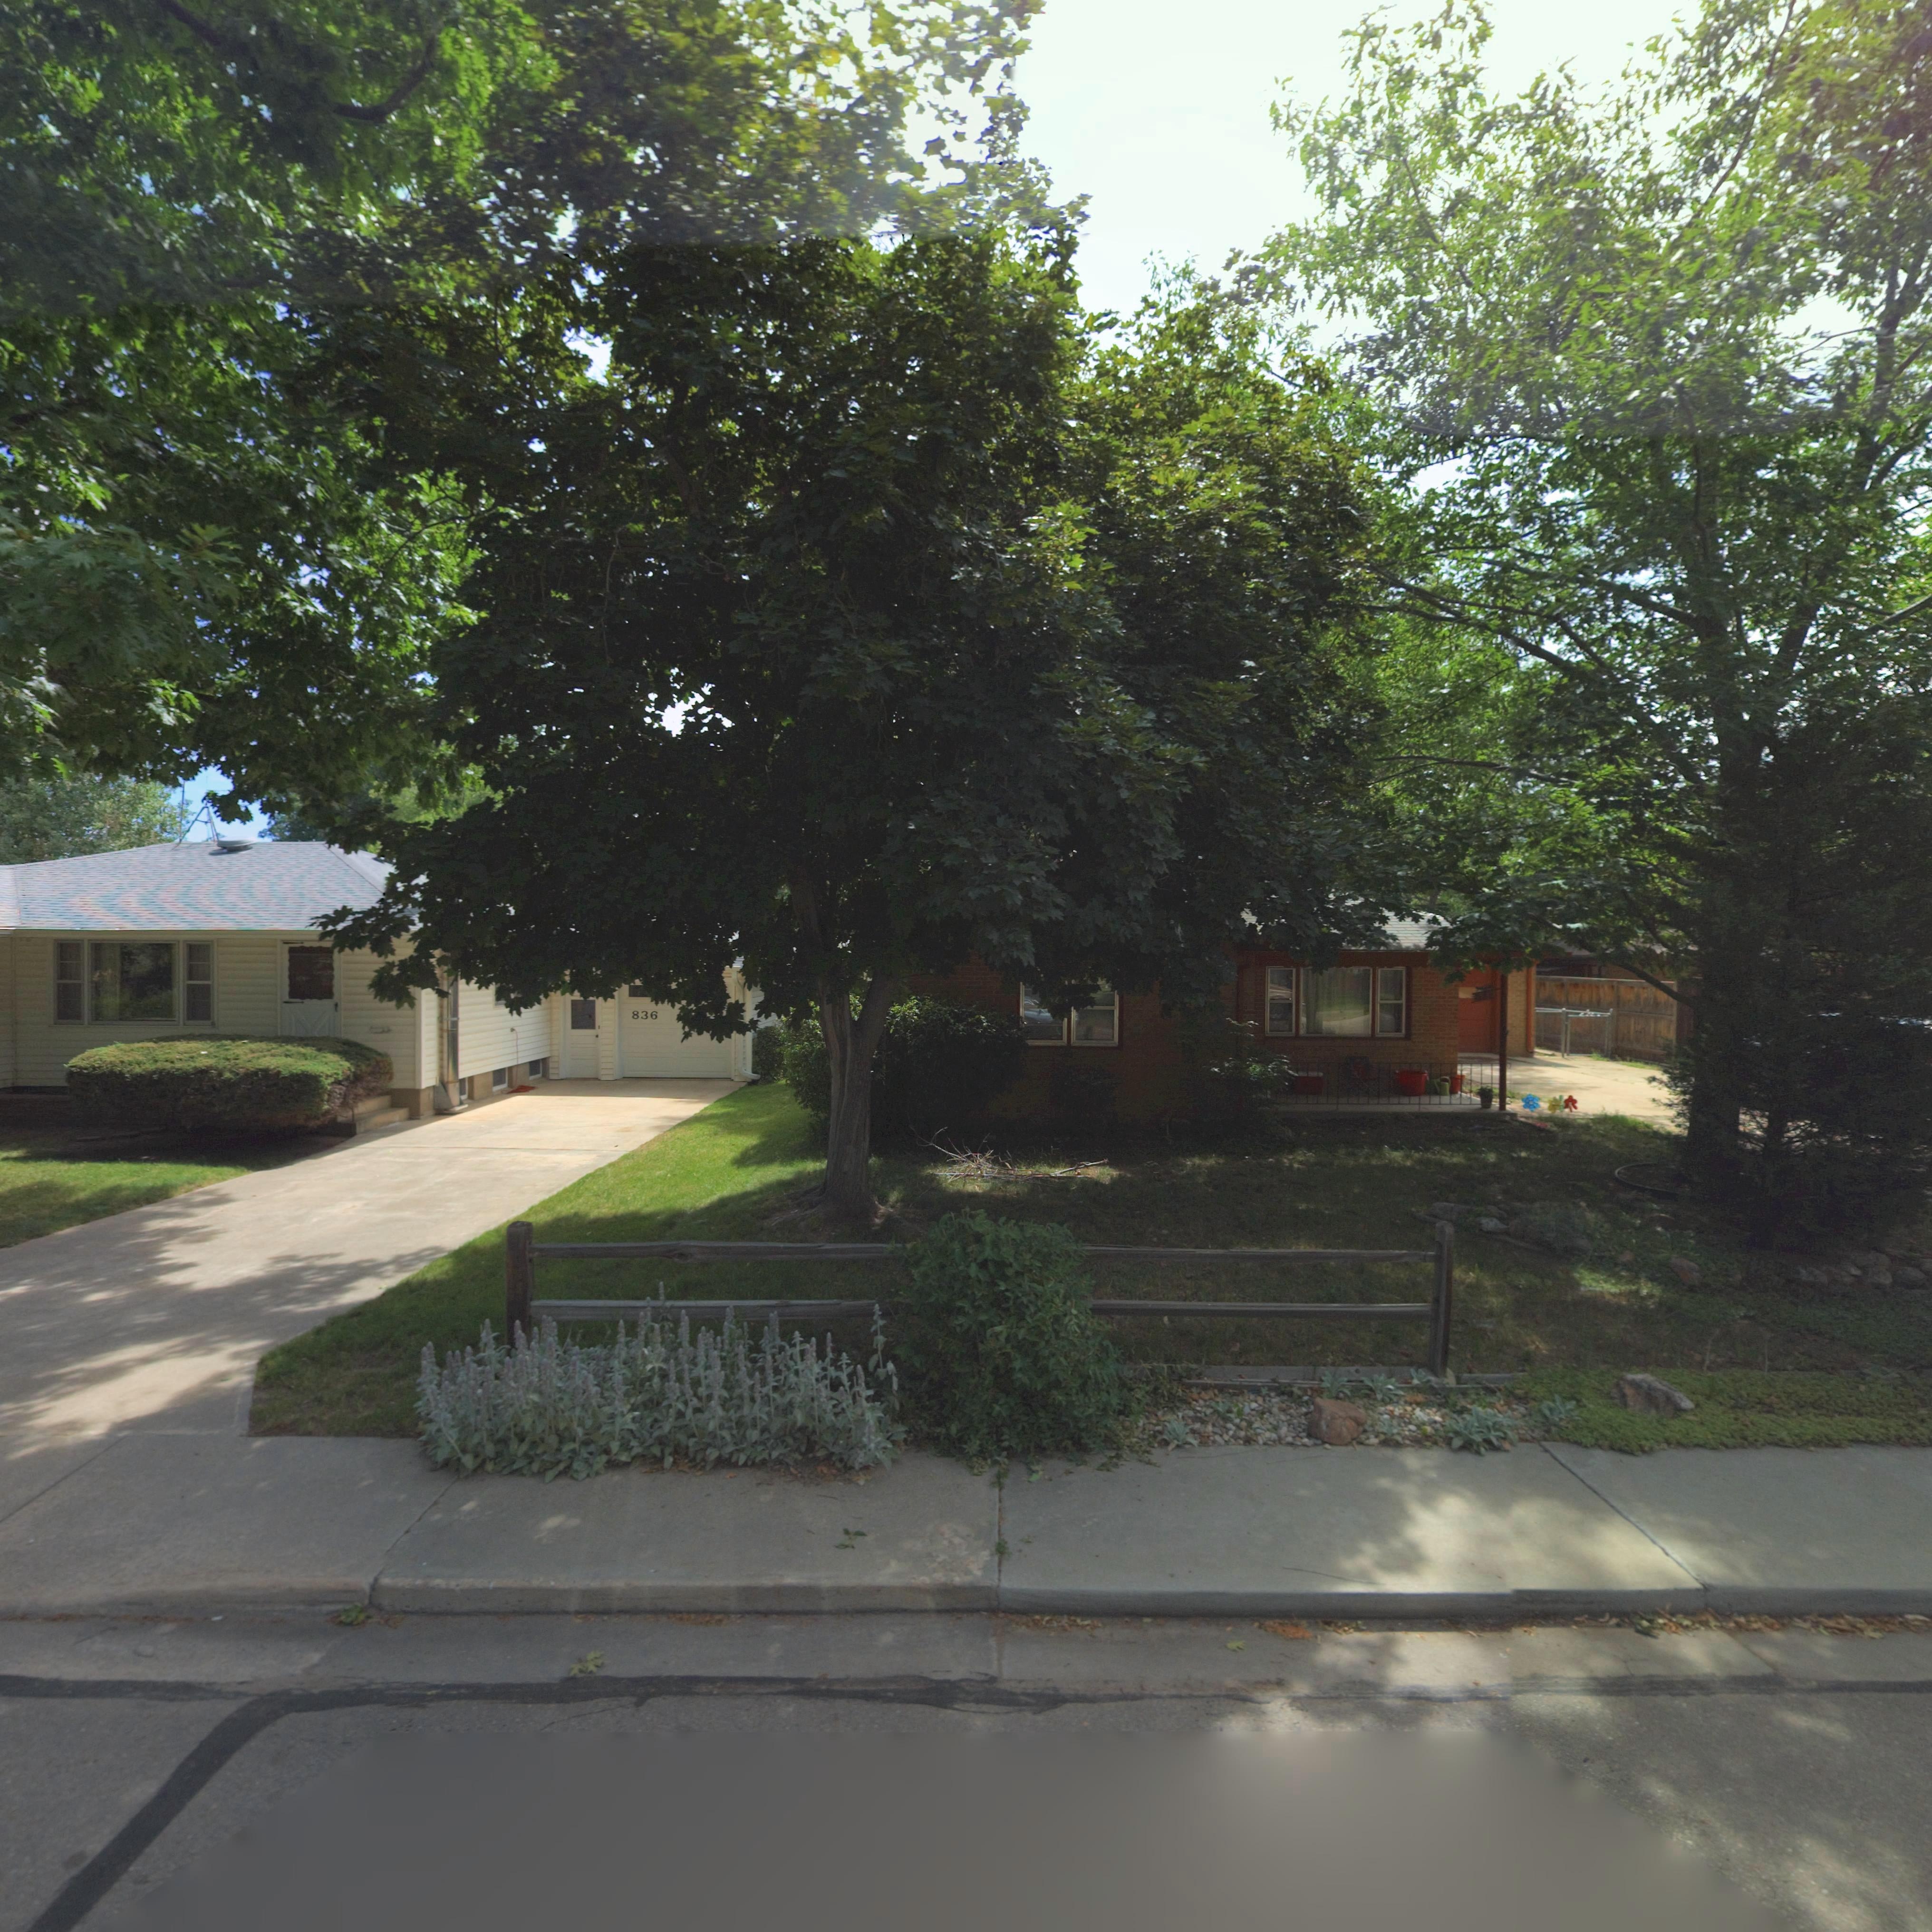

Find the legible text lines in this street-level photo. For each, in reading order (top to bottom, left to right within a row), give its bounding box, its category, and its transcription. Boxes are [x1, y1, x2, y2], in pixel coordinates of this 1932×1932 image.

[632, 1010, 657, 1019] StreetNumber: 836